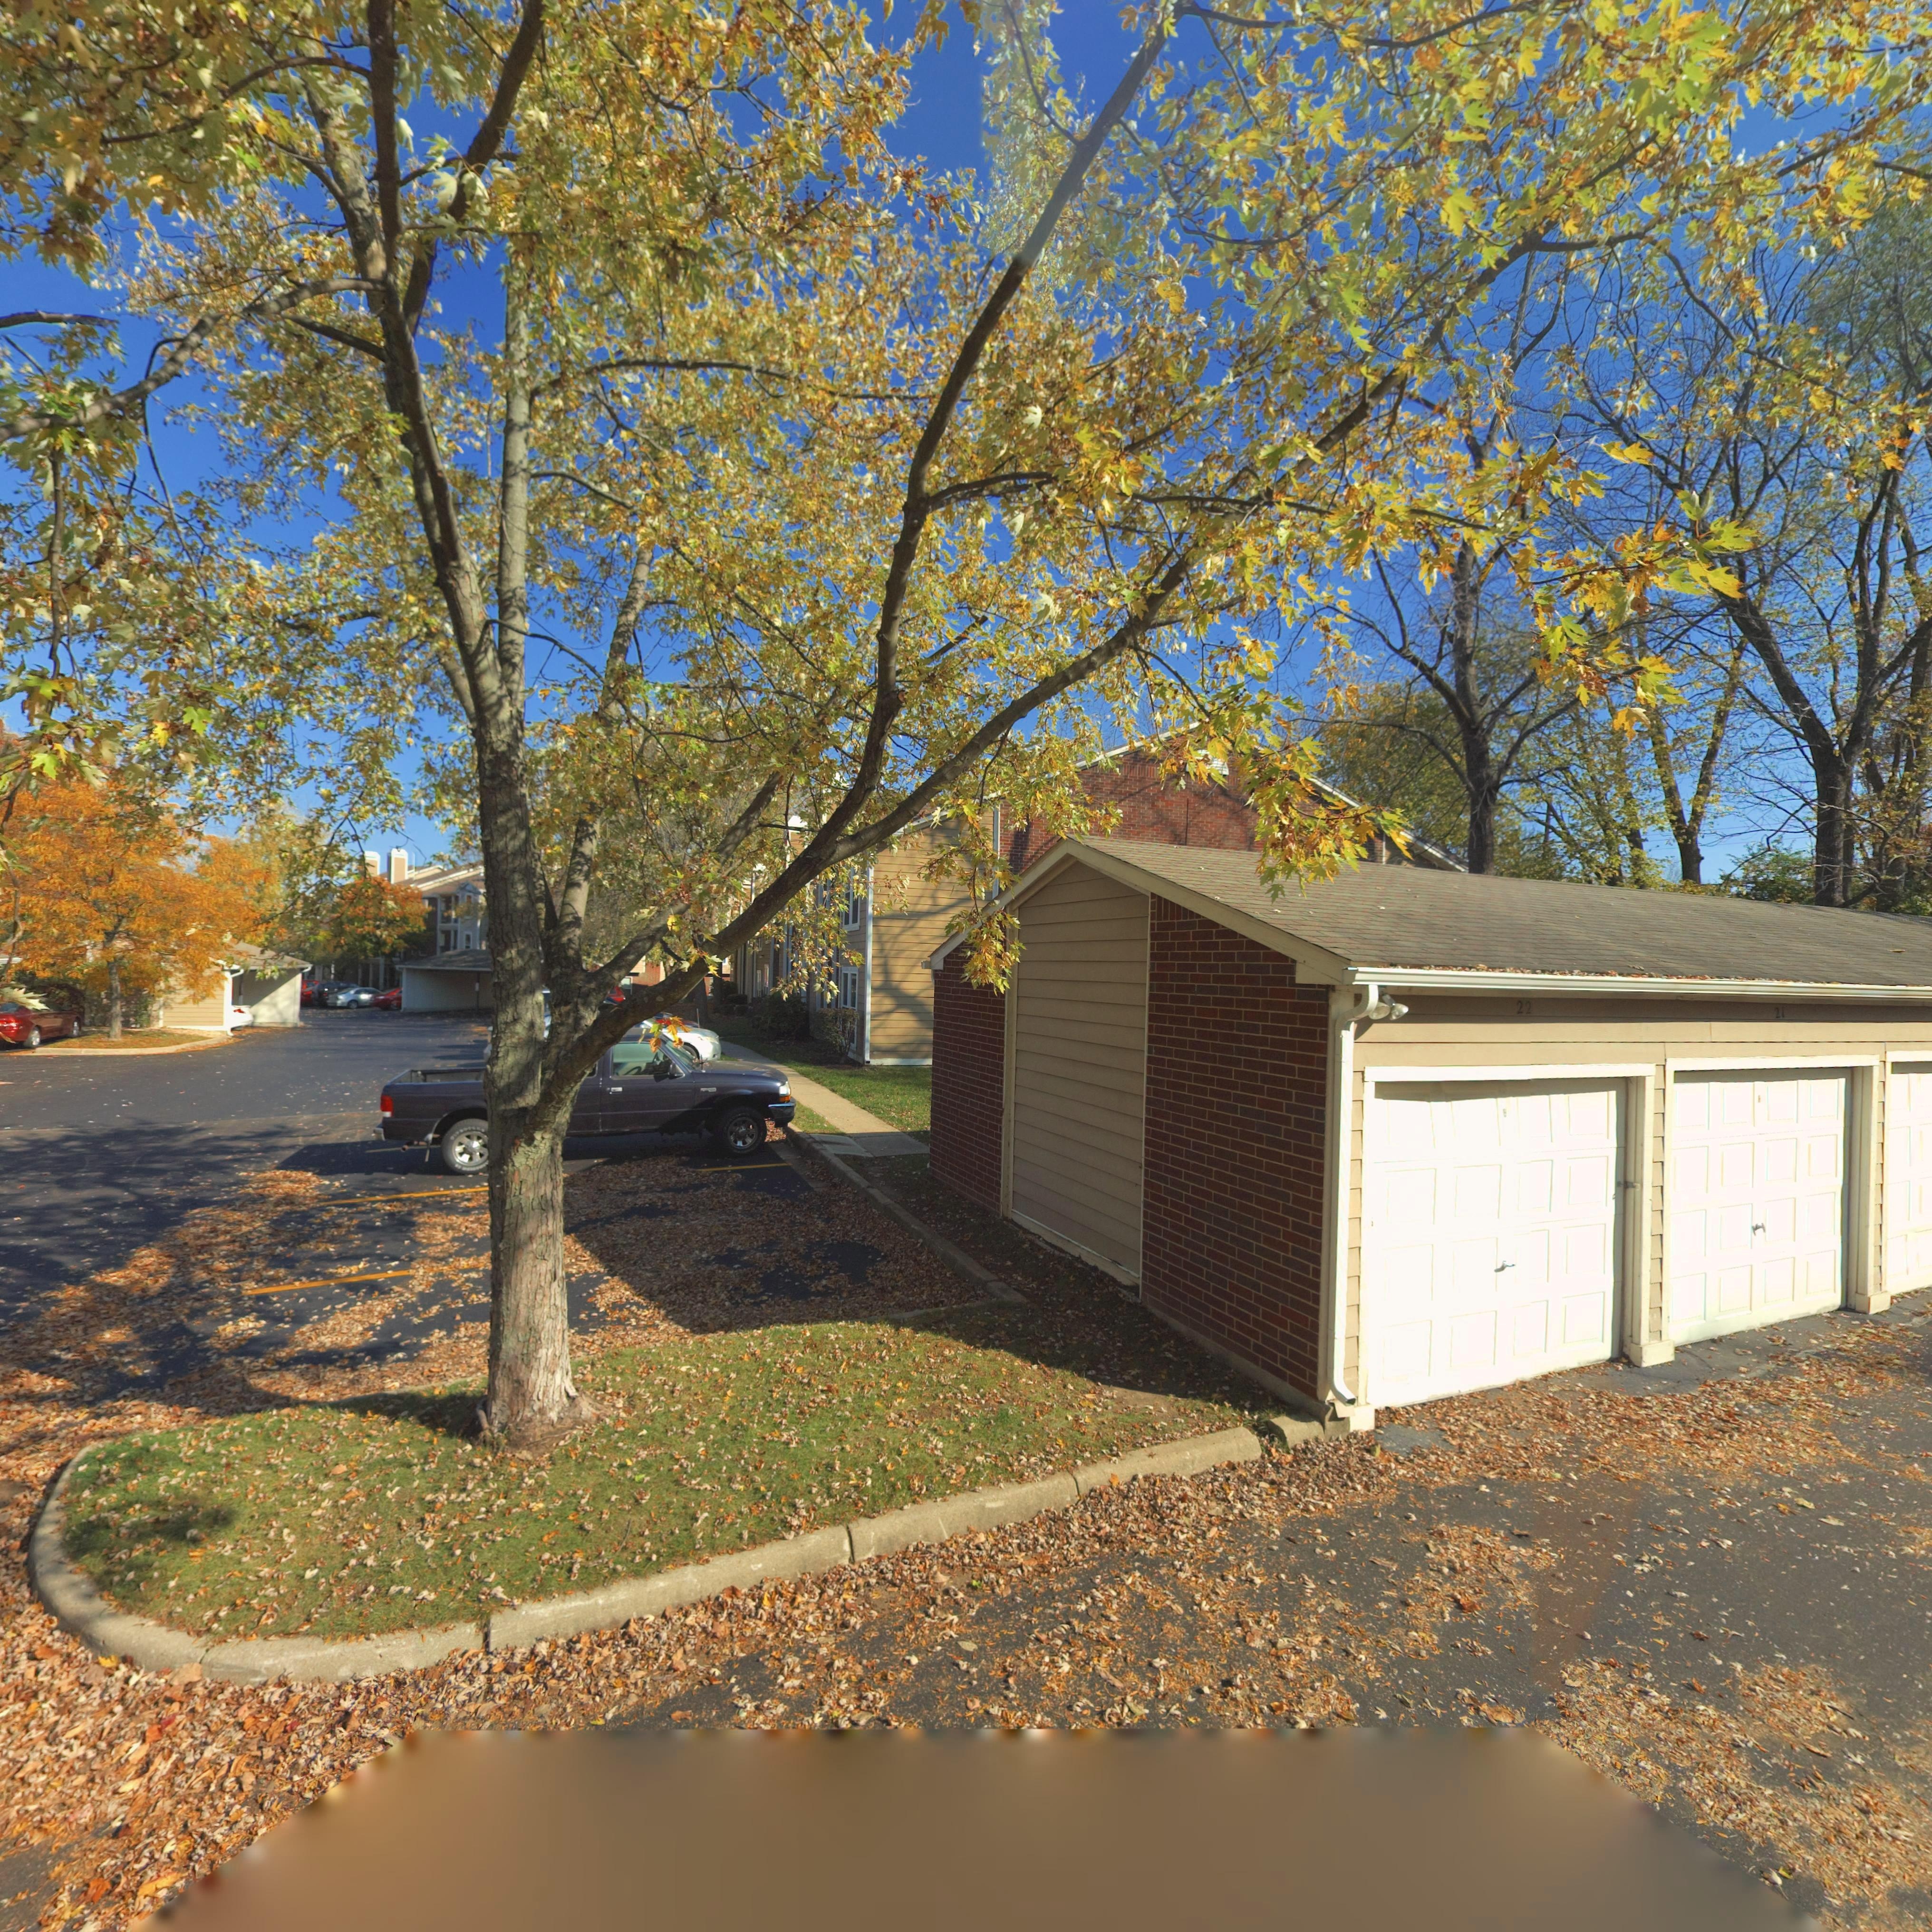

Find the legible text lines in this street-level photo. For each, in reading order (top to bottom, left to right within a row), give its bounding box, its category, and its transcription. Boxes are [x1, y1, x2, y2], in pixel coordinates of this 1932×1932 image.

[1516, 1000, 1533, 1015] StreetNumber: 22
[1773, 1006, 1786, 1019] StreetNumber: 21